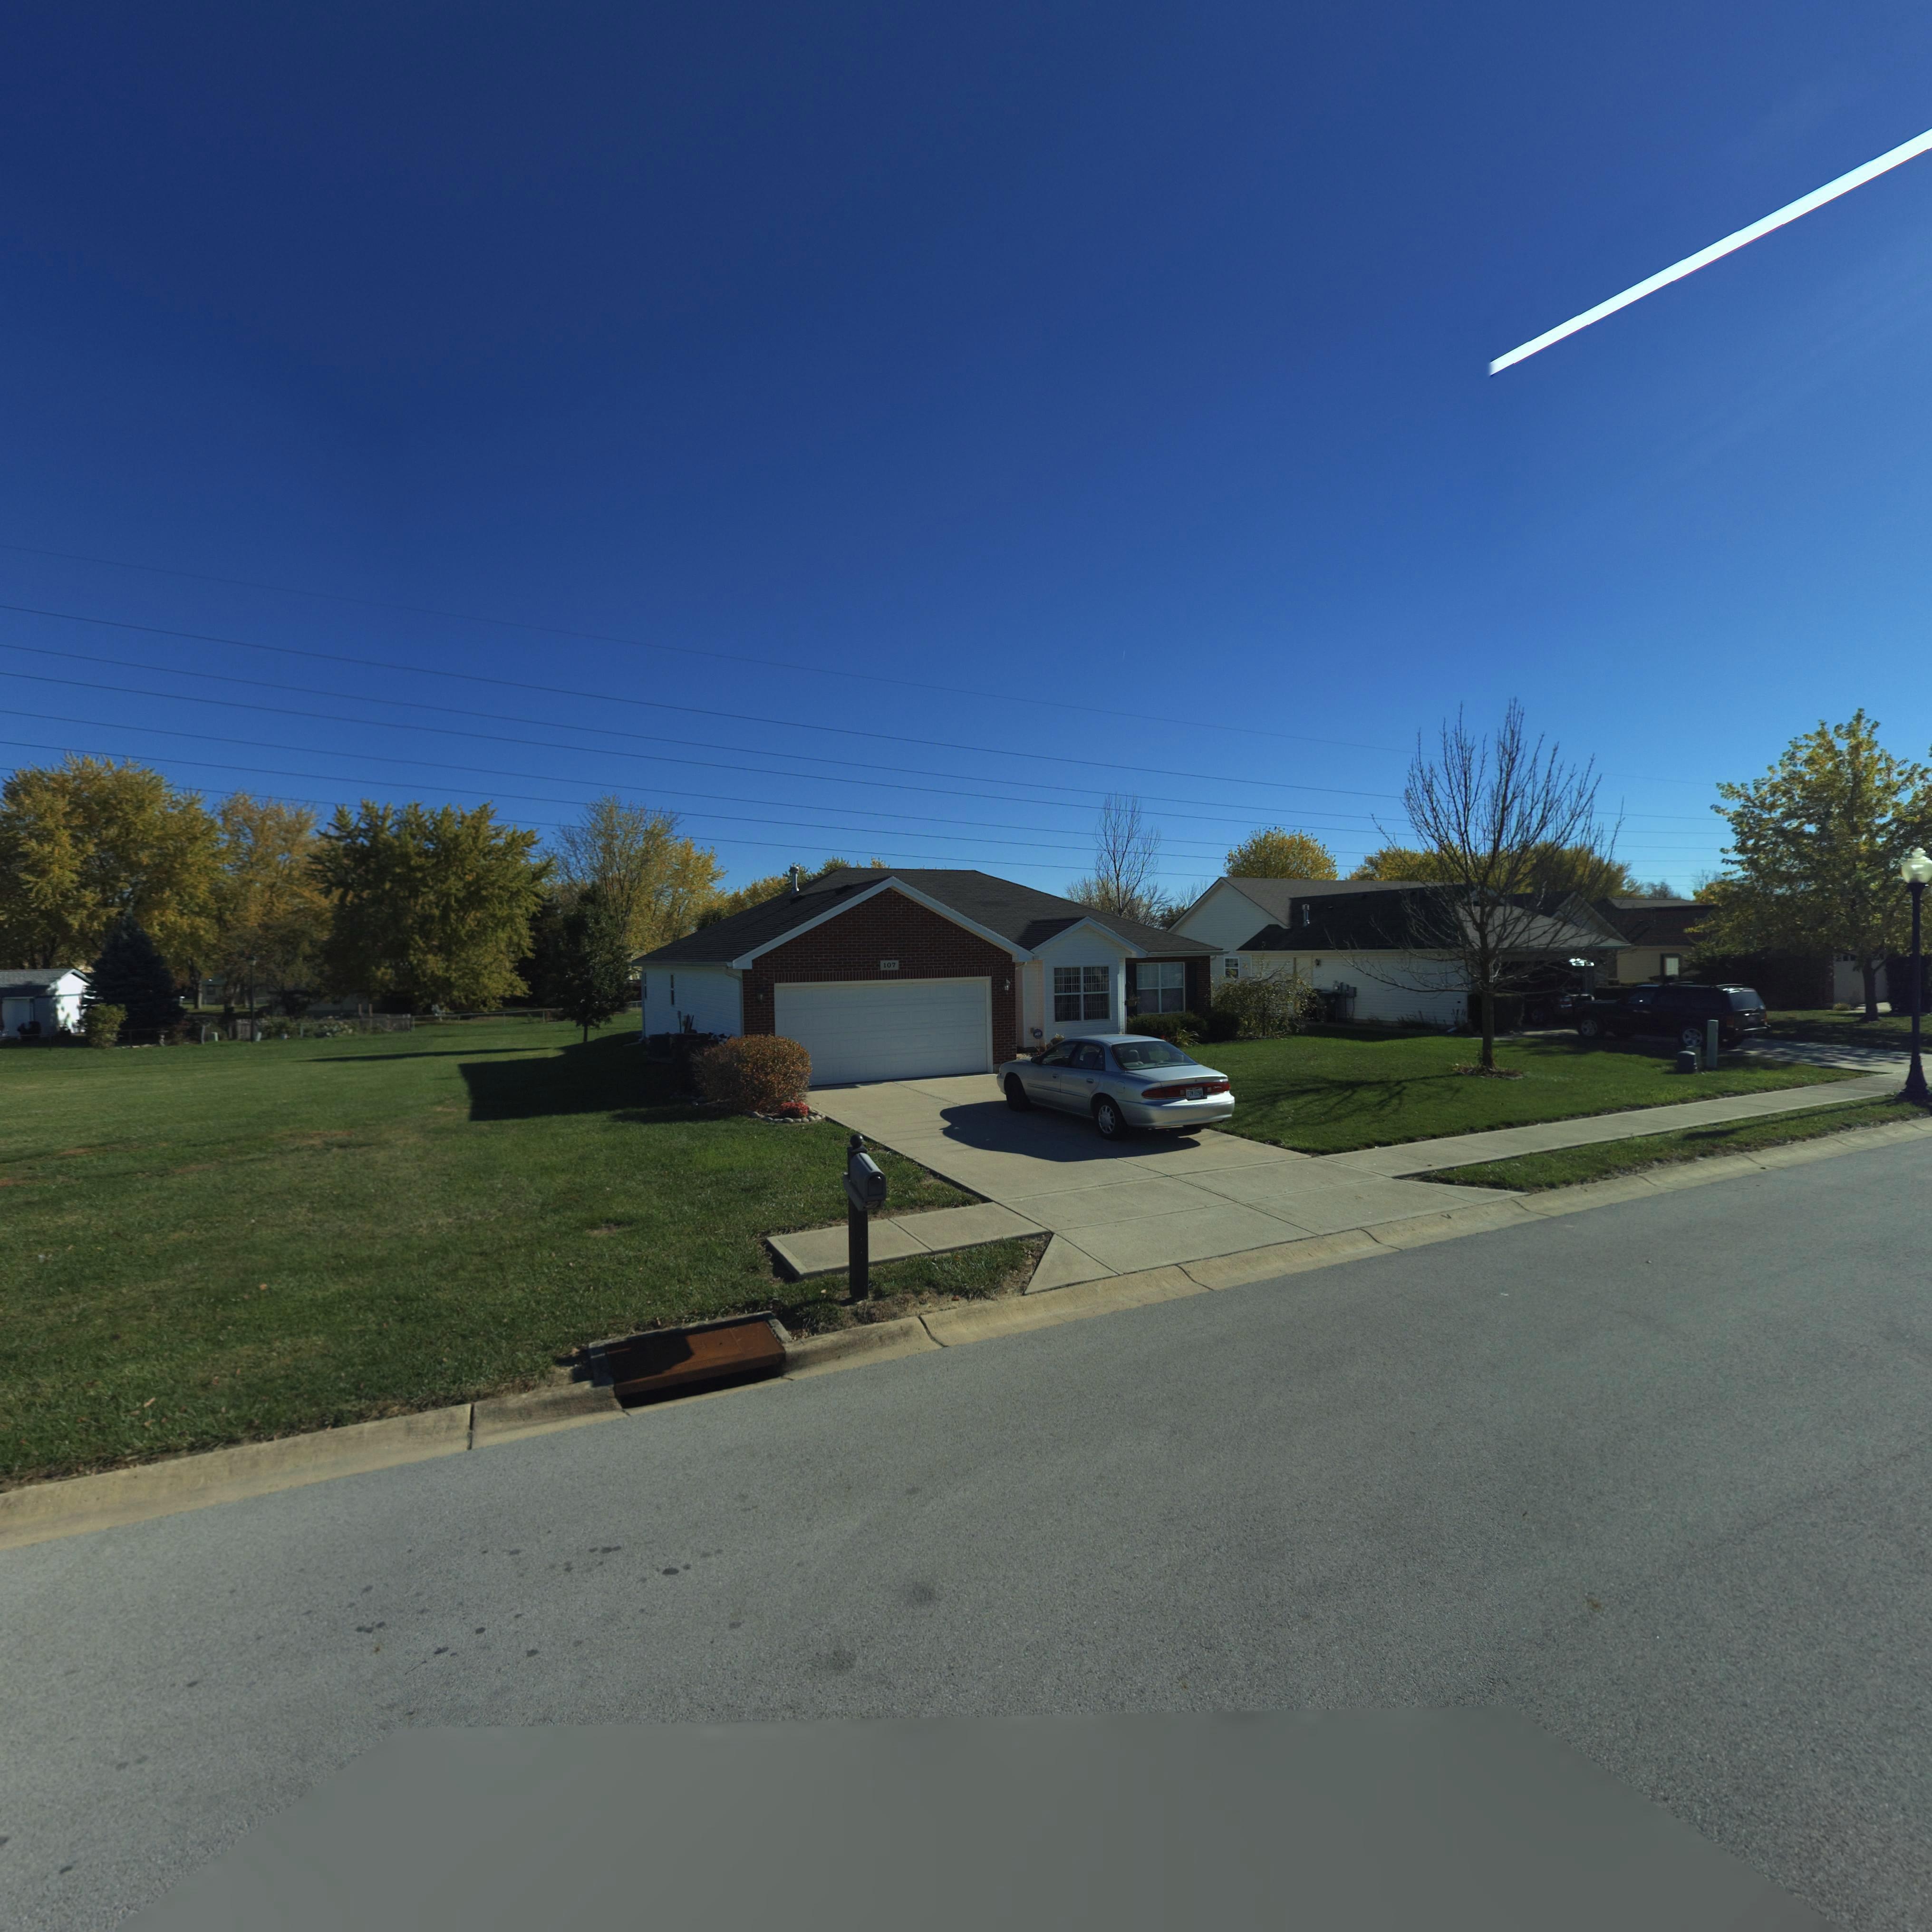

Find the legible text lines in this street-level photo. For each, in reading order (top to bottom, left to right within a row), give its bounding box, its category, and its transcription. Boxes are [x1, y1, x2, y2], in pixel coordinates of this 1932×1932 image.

[883, 961, 897, 969] StreetNumber: 107